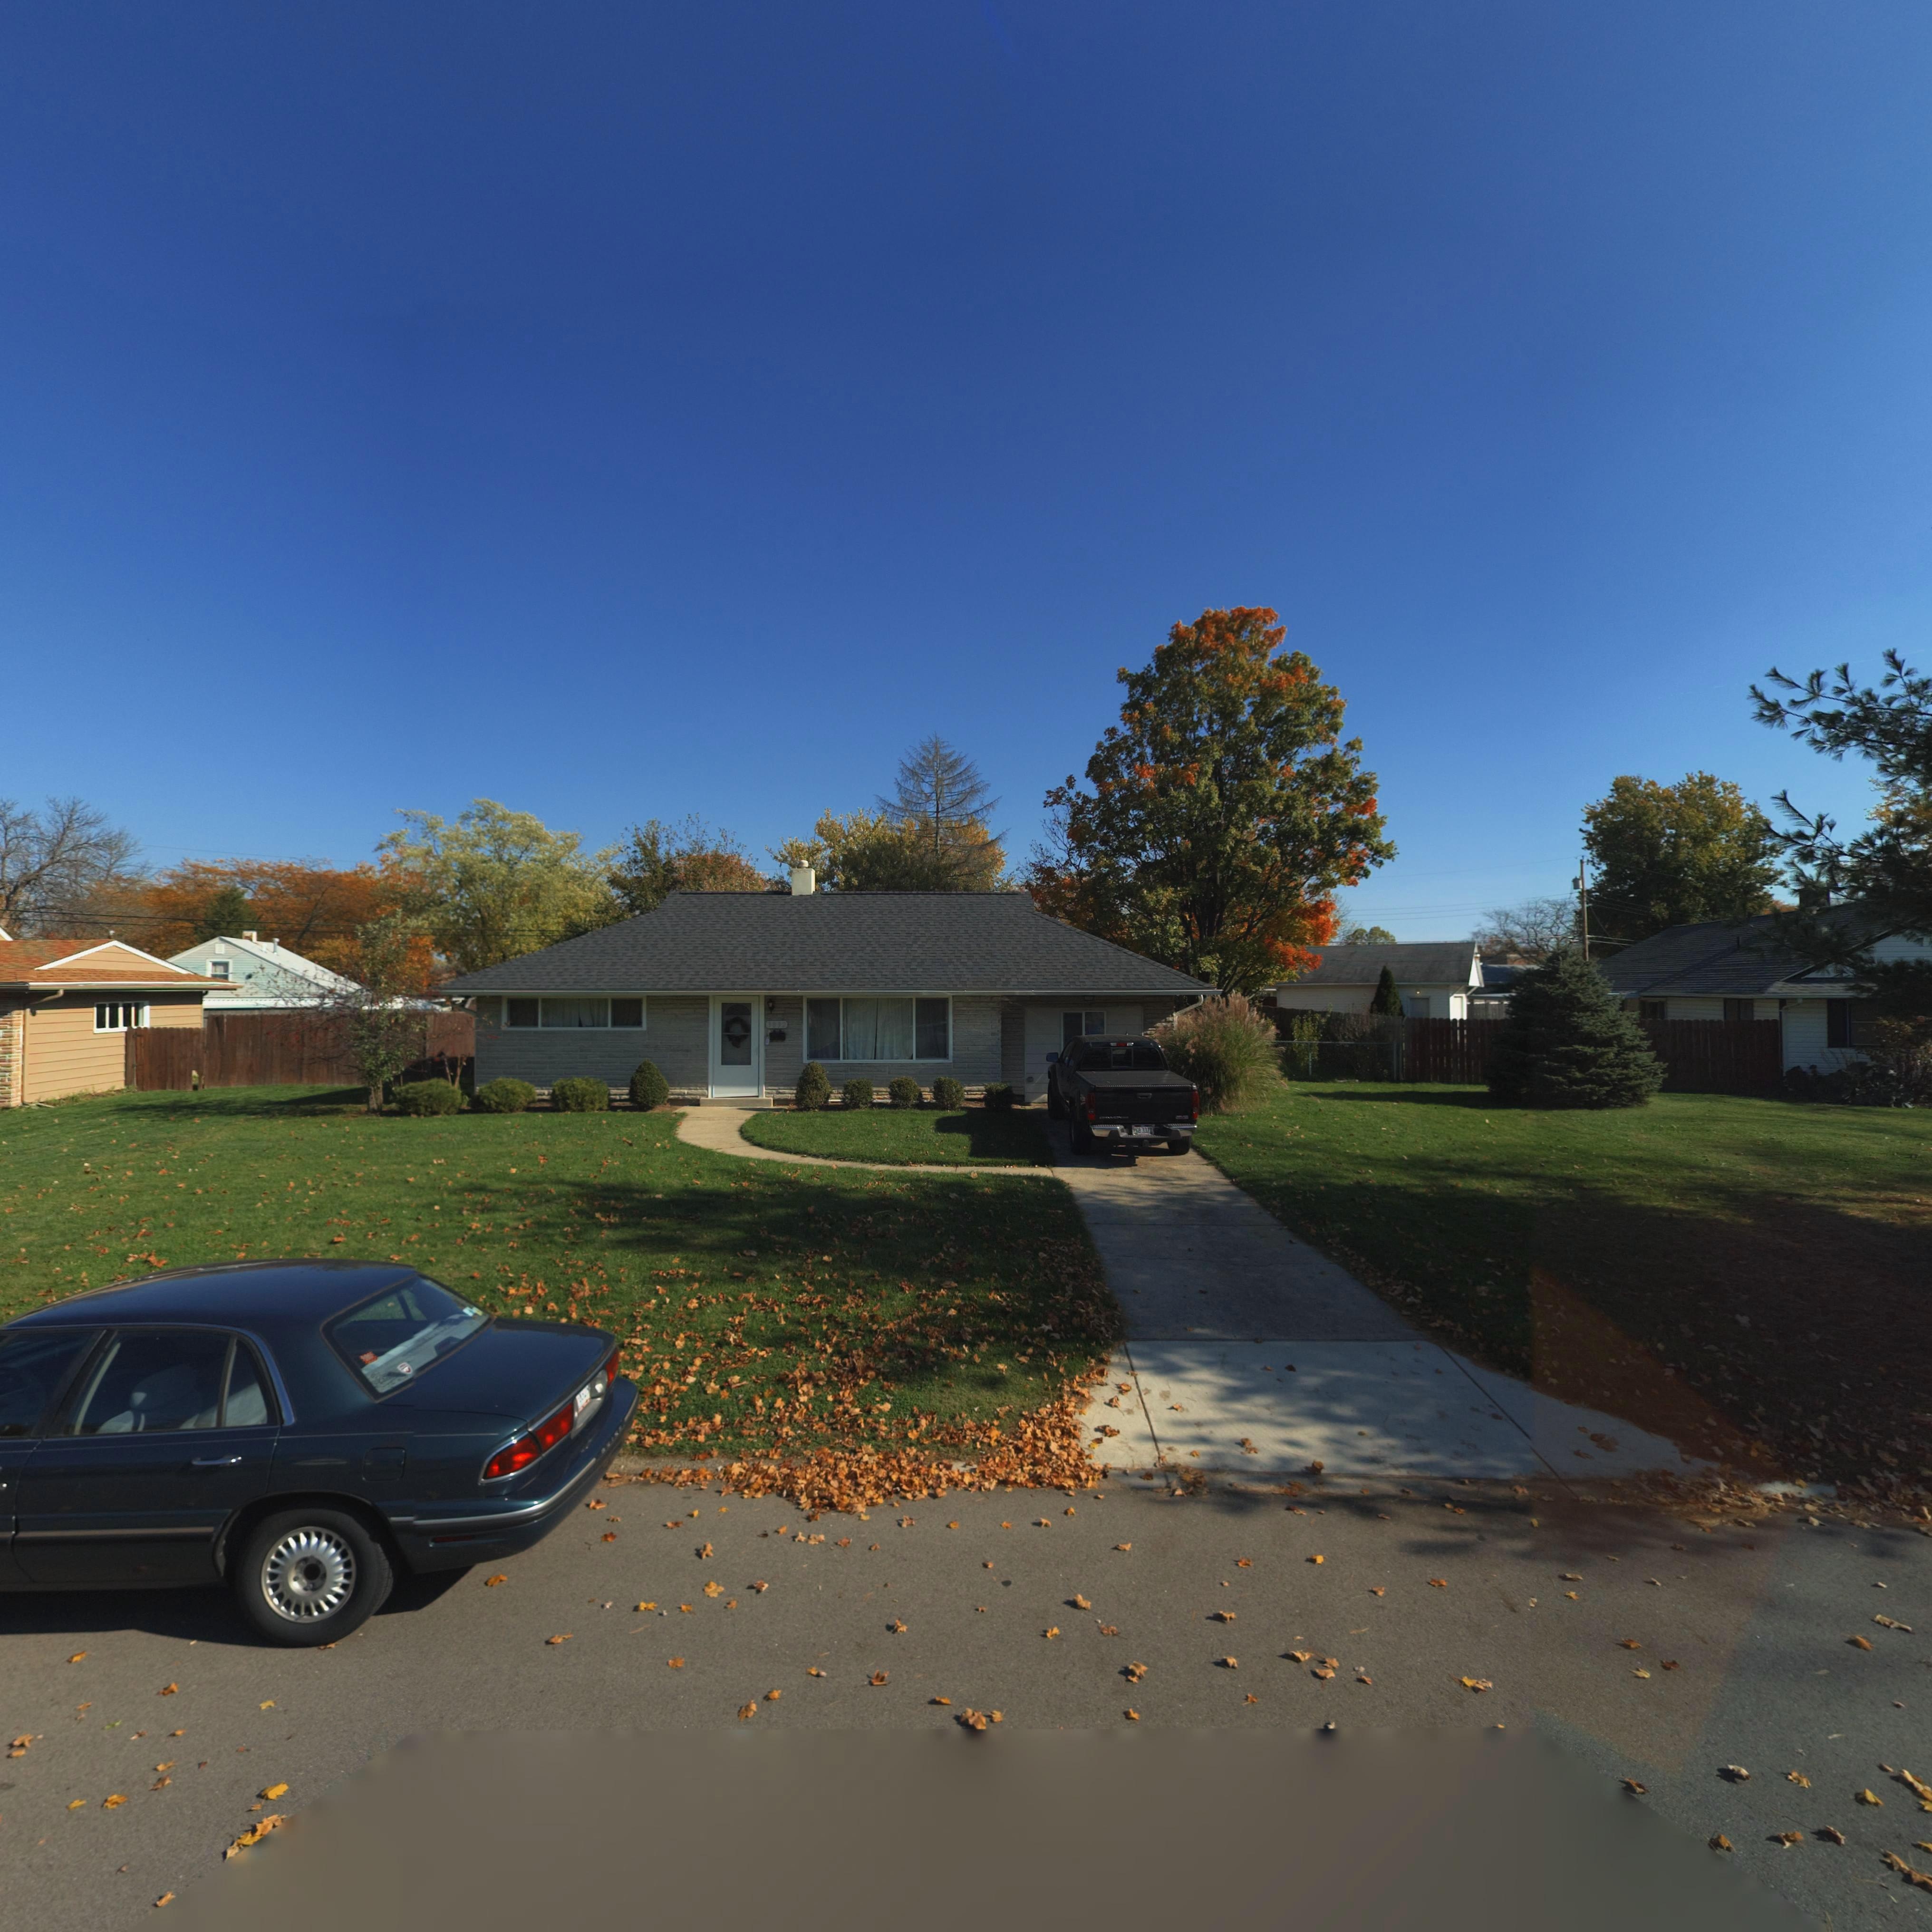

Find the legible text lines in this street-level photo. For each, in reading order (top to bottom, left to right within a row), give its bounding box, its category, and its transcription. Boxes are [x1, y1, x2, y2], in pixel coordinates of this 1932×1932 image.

[767, 1021, 787, 1029] StreetNumber: 3832